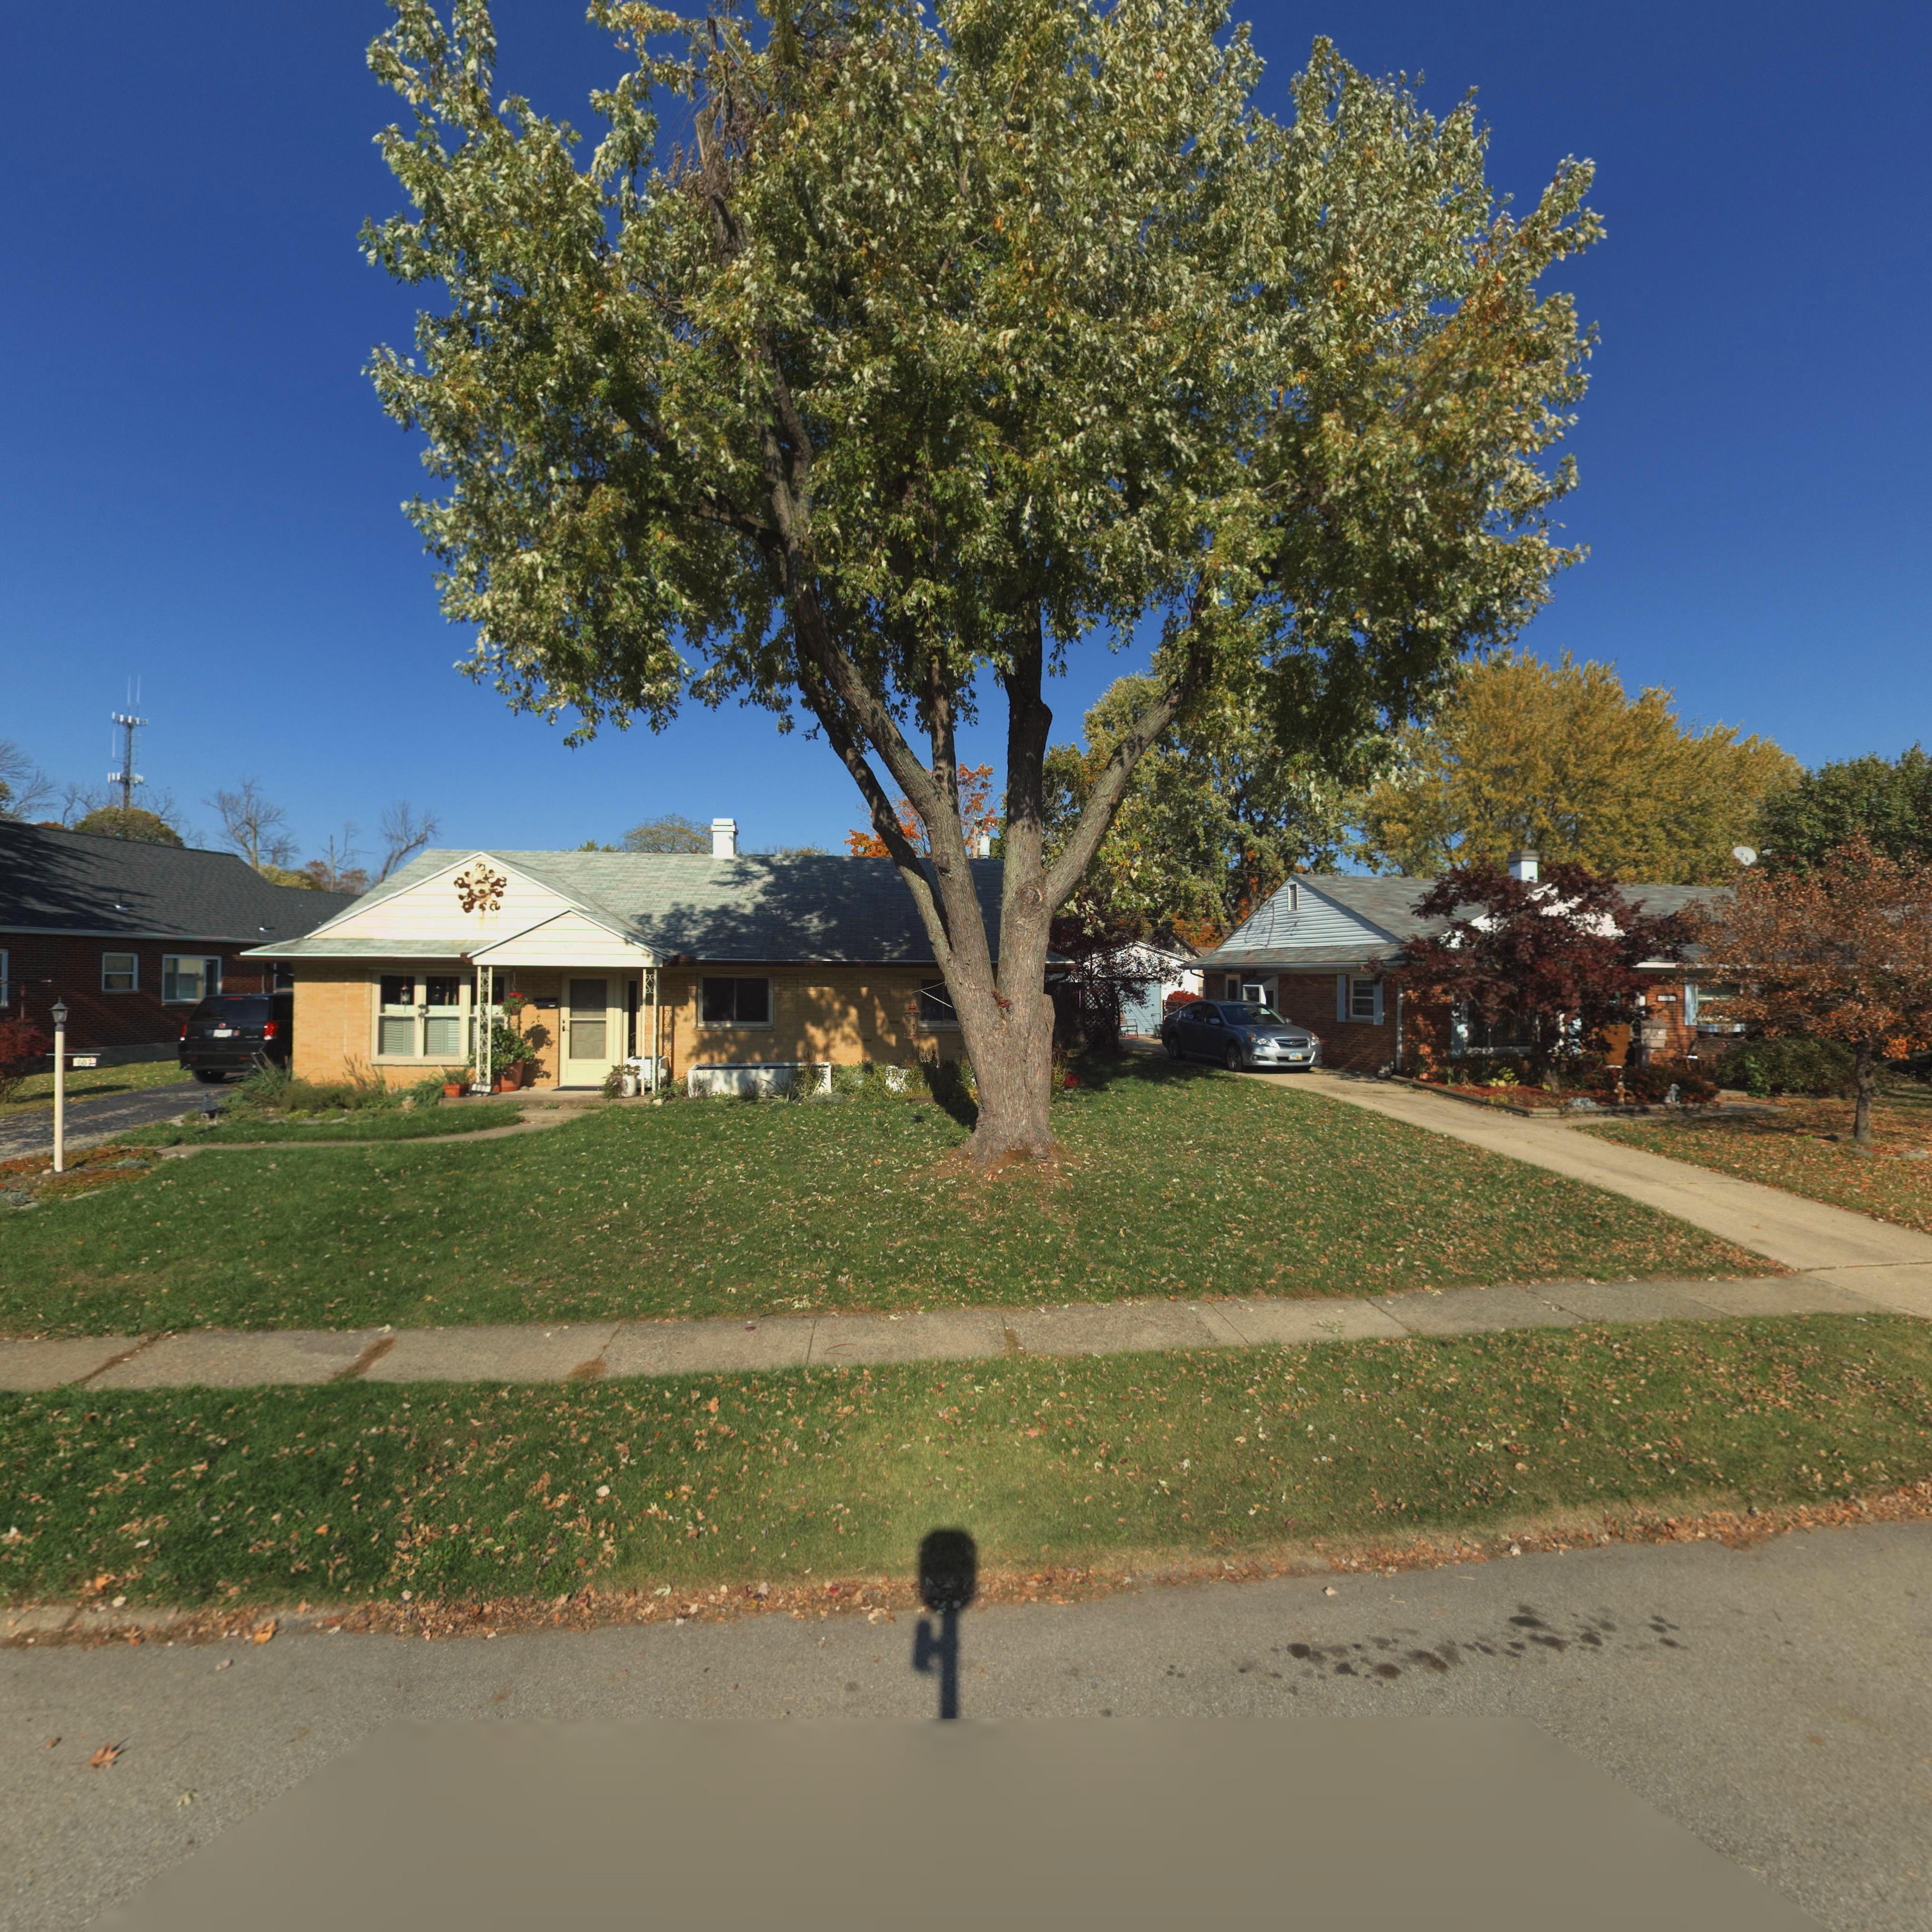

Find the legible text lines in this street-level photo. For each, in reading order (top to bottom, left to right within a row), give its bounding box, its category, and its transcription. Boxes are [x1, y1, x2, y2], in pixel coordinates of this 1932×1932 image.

[77, 1059, 92, 1066] StreetNumber: 607
[474, 1083, 488, 1092] StreetNumber: 607